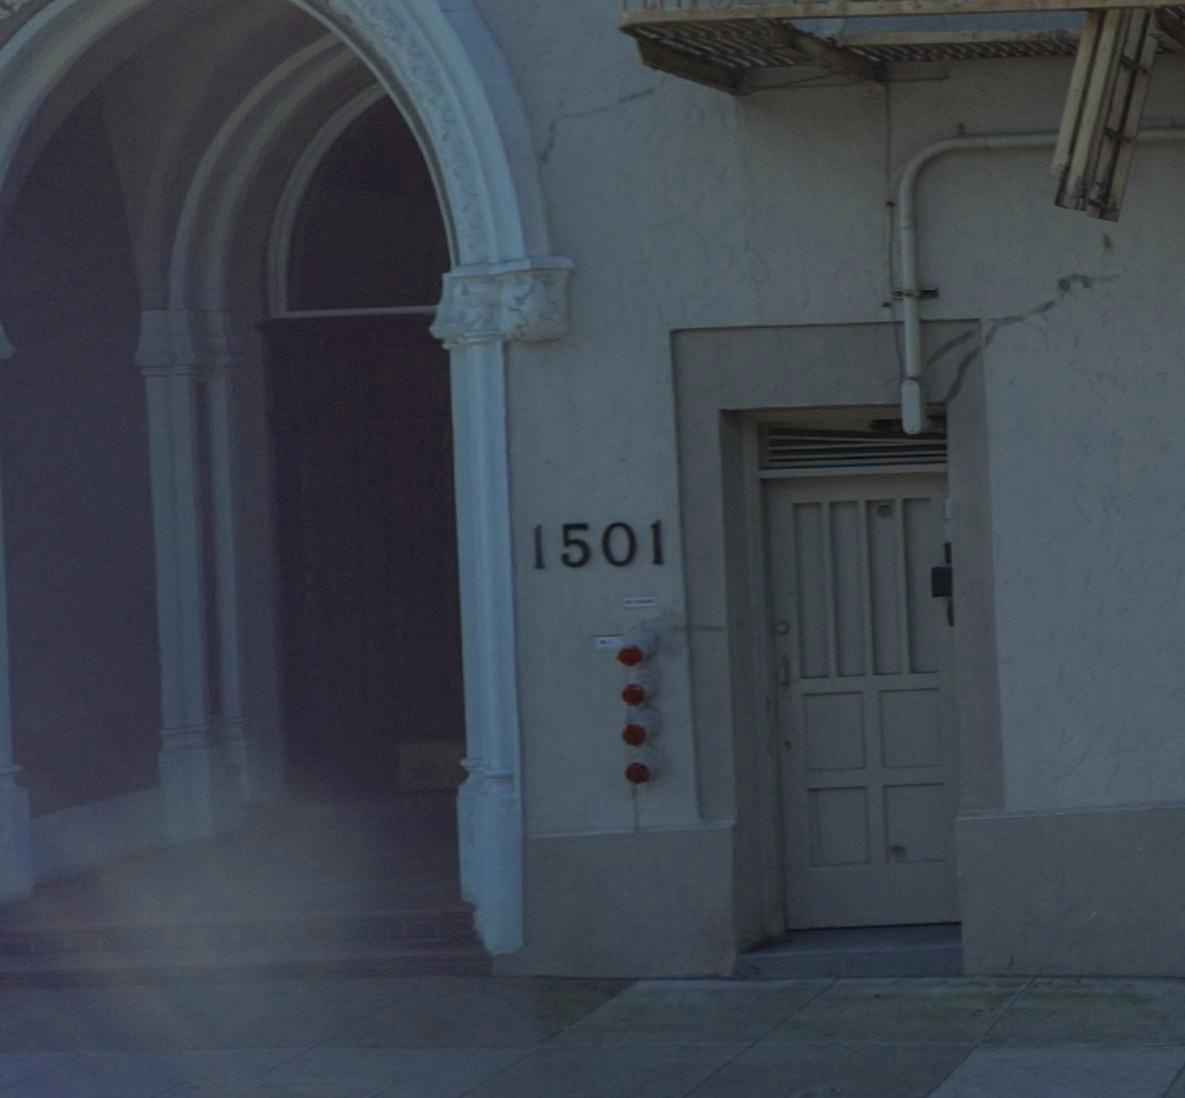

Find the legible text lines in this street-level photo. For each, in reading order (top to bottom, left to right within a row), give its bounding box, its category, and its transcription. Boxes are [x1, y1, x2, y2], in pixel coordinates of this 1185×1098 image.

[530, 518, 667, 572] StreetNumber: 1501